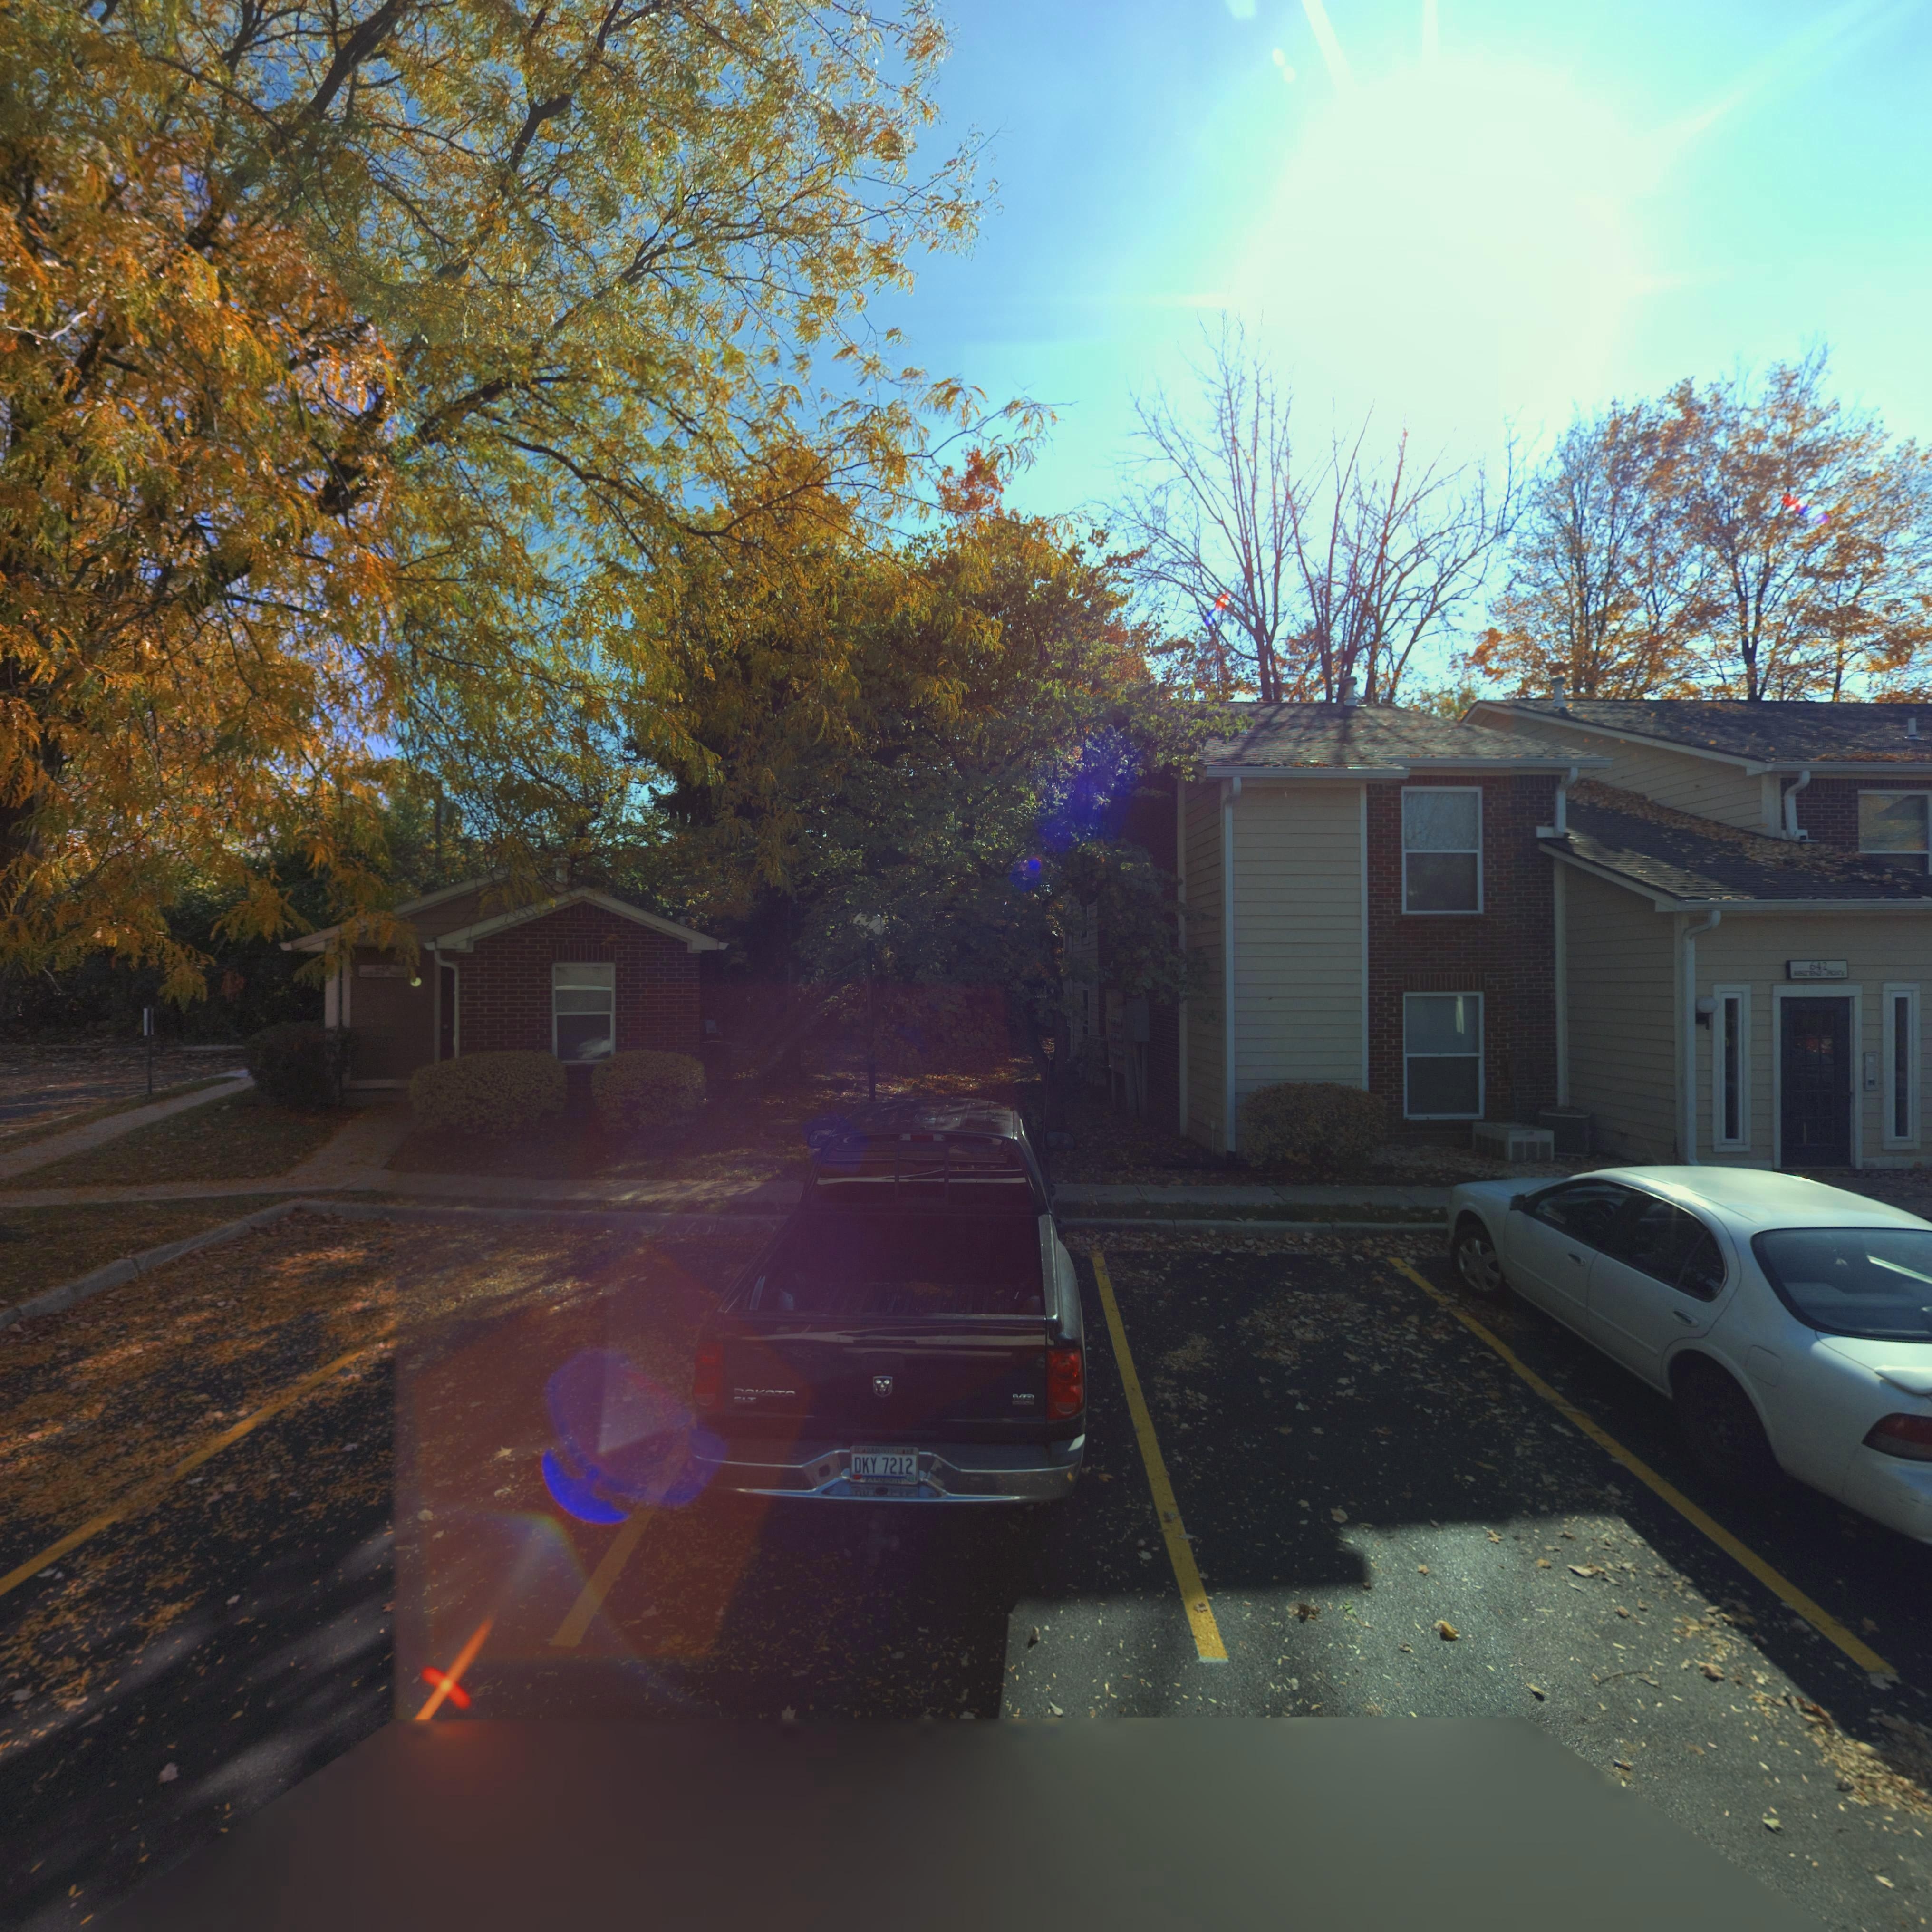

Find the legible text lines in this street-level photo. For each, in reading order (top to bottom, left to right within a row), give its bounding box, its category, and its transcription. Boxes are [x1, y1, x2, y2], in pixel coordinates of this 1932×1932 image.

[1809, 961, 1829, 971] StreetNumber: 642
[733, 1387, 797, 1398] None: DOKO**
[853, 1455, 914, 1476] None: DKY 7212